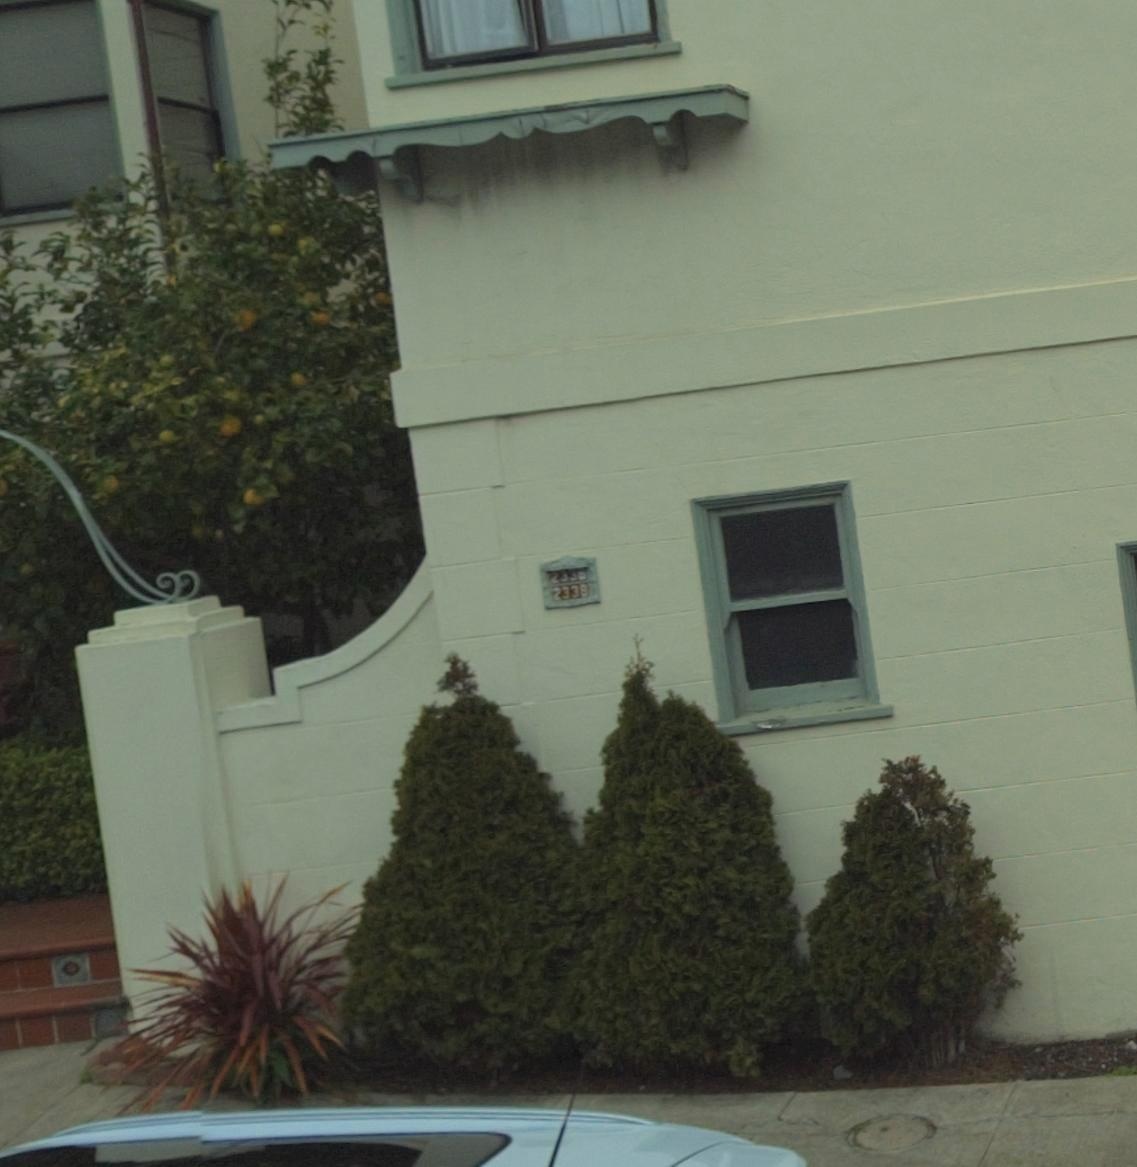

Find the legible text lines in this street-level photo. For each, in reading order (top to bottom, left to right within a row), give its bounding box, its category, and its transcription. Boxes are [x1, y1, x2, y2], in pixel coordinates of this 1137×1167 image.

[549, 567, 589, 585] StreetNumber: 2336
[551, 583, 590, 603] StreetNumber: 2338